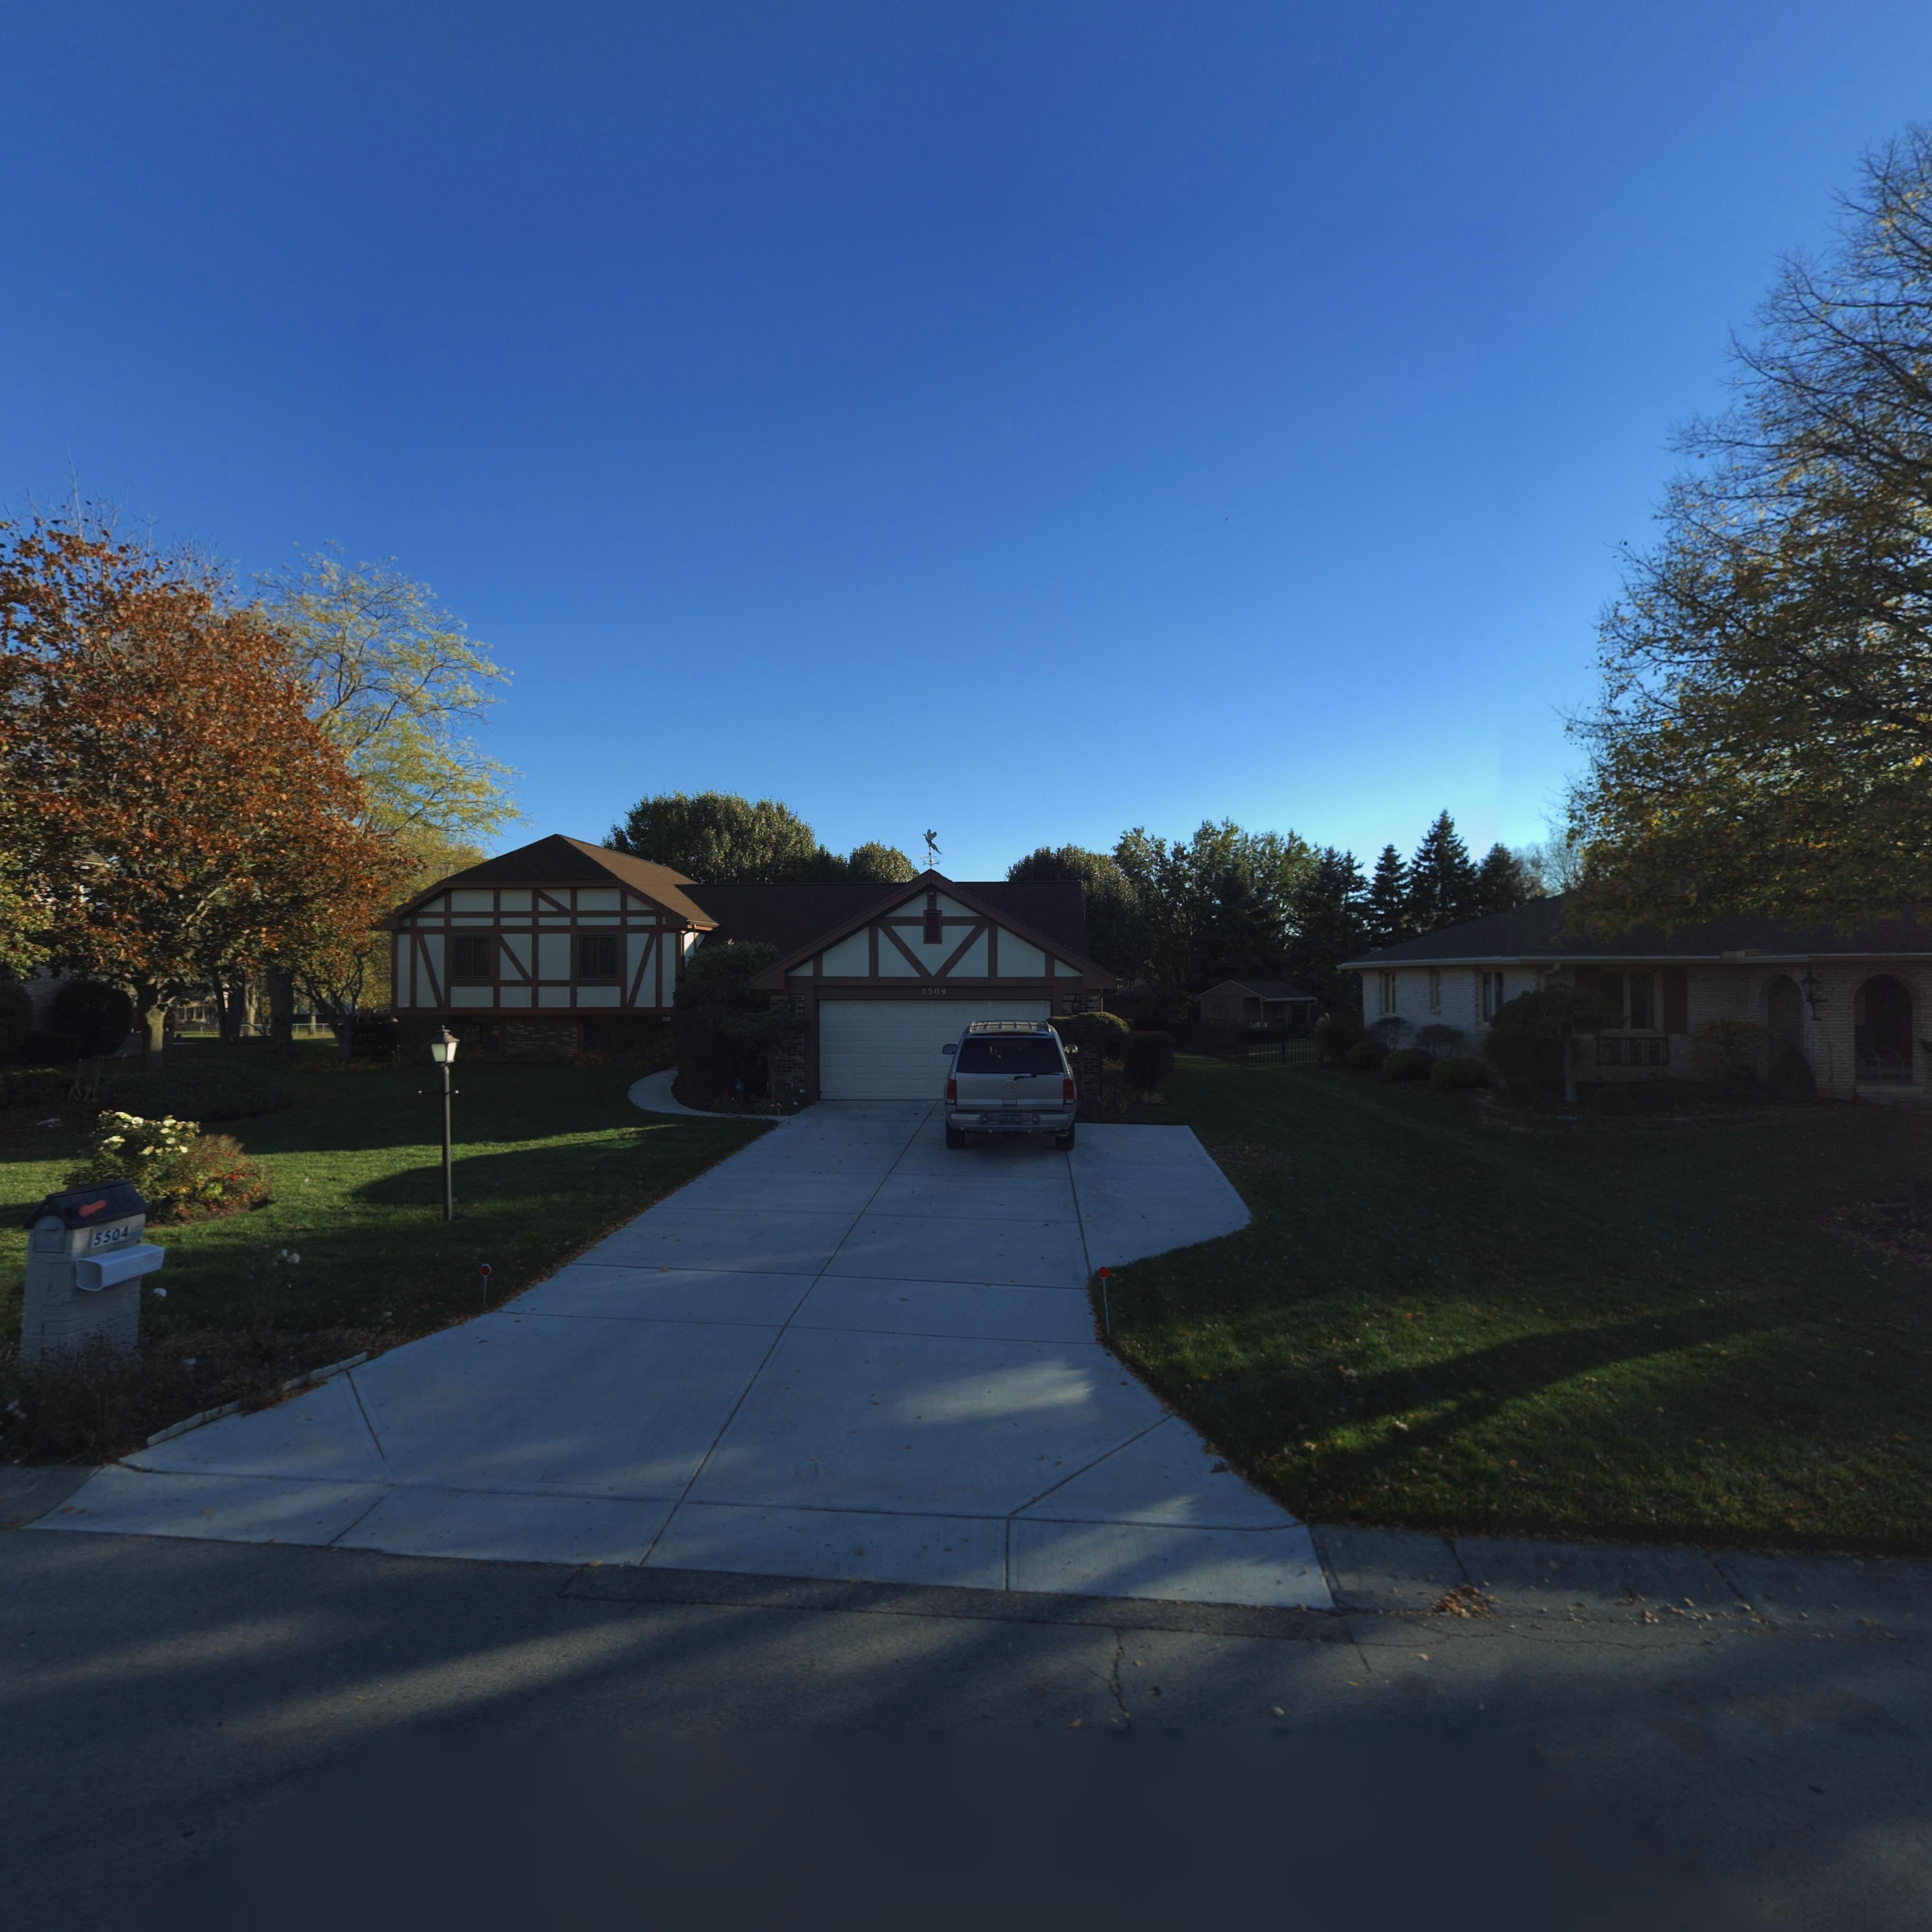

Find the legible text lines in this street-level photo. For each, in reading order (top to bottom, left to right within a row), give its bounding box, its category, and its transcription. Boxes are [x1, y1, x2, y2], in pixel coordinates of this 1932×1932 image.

[920, 986, 947, 996] StreetNumber: 5504
[93, 1225, 130, 1247] StreetNumber: 5504